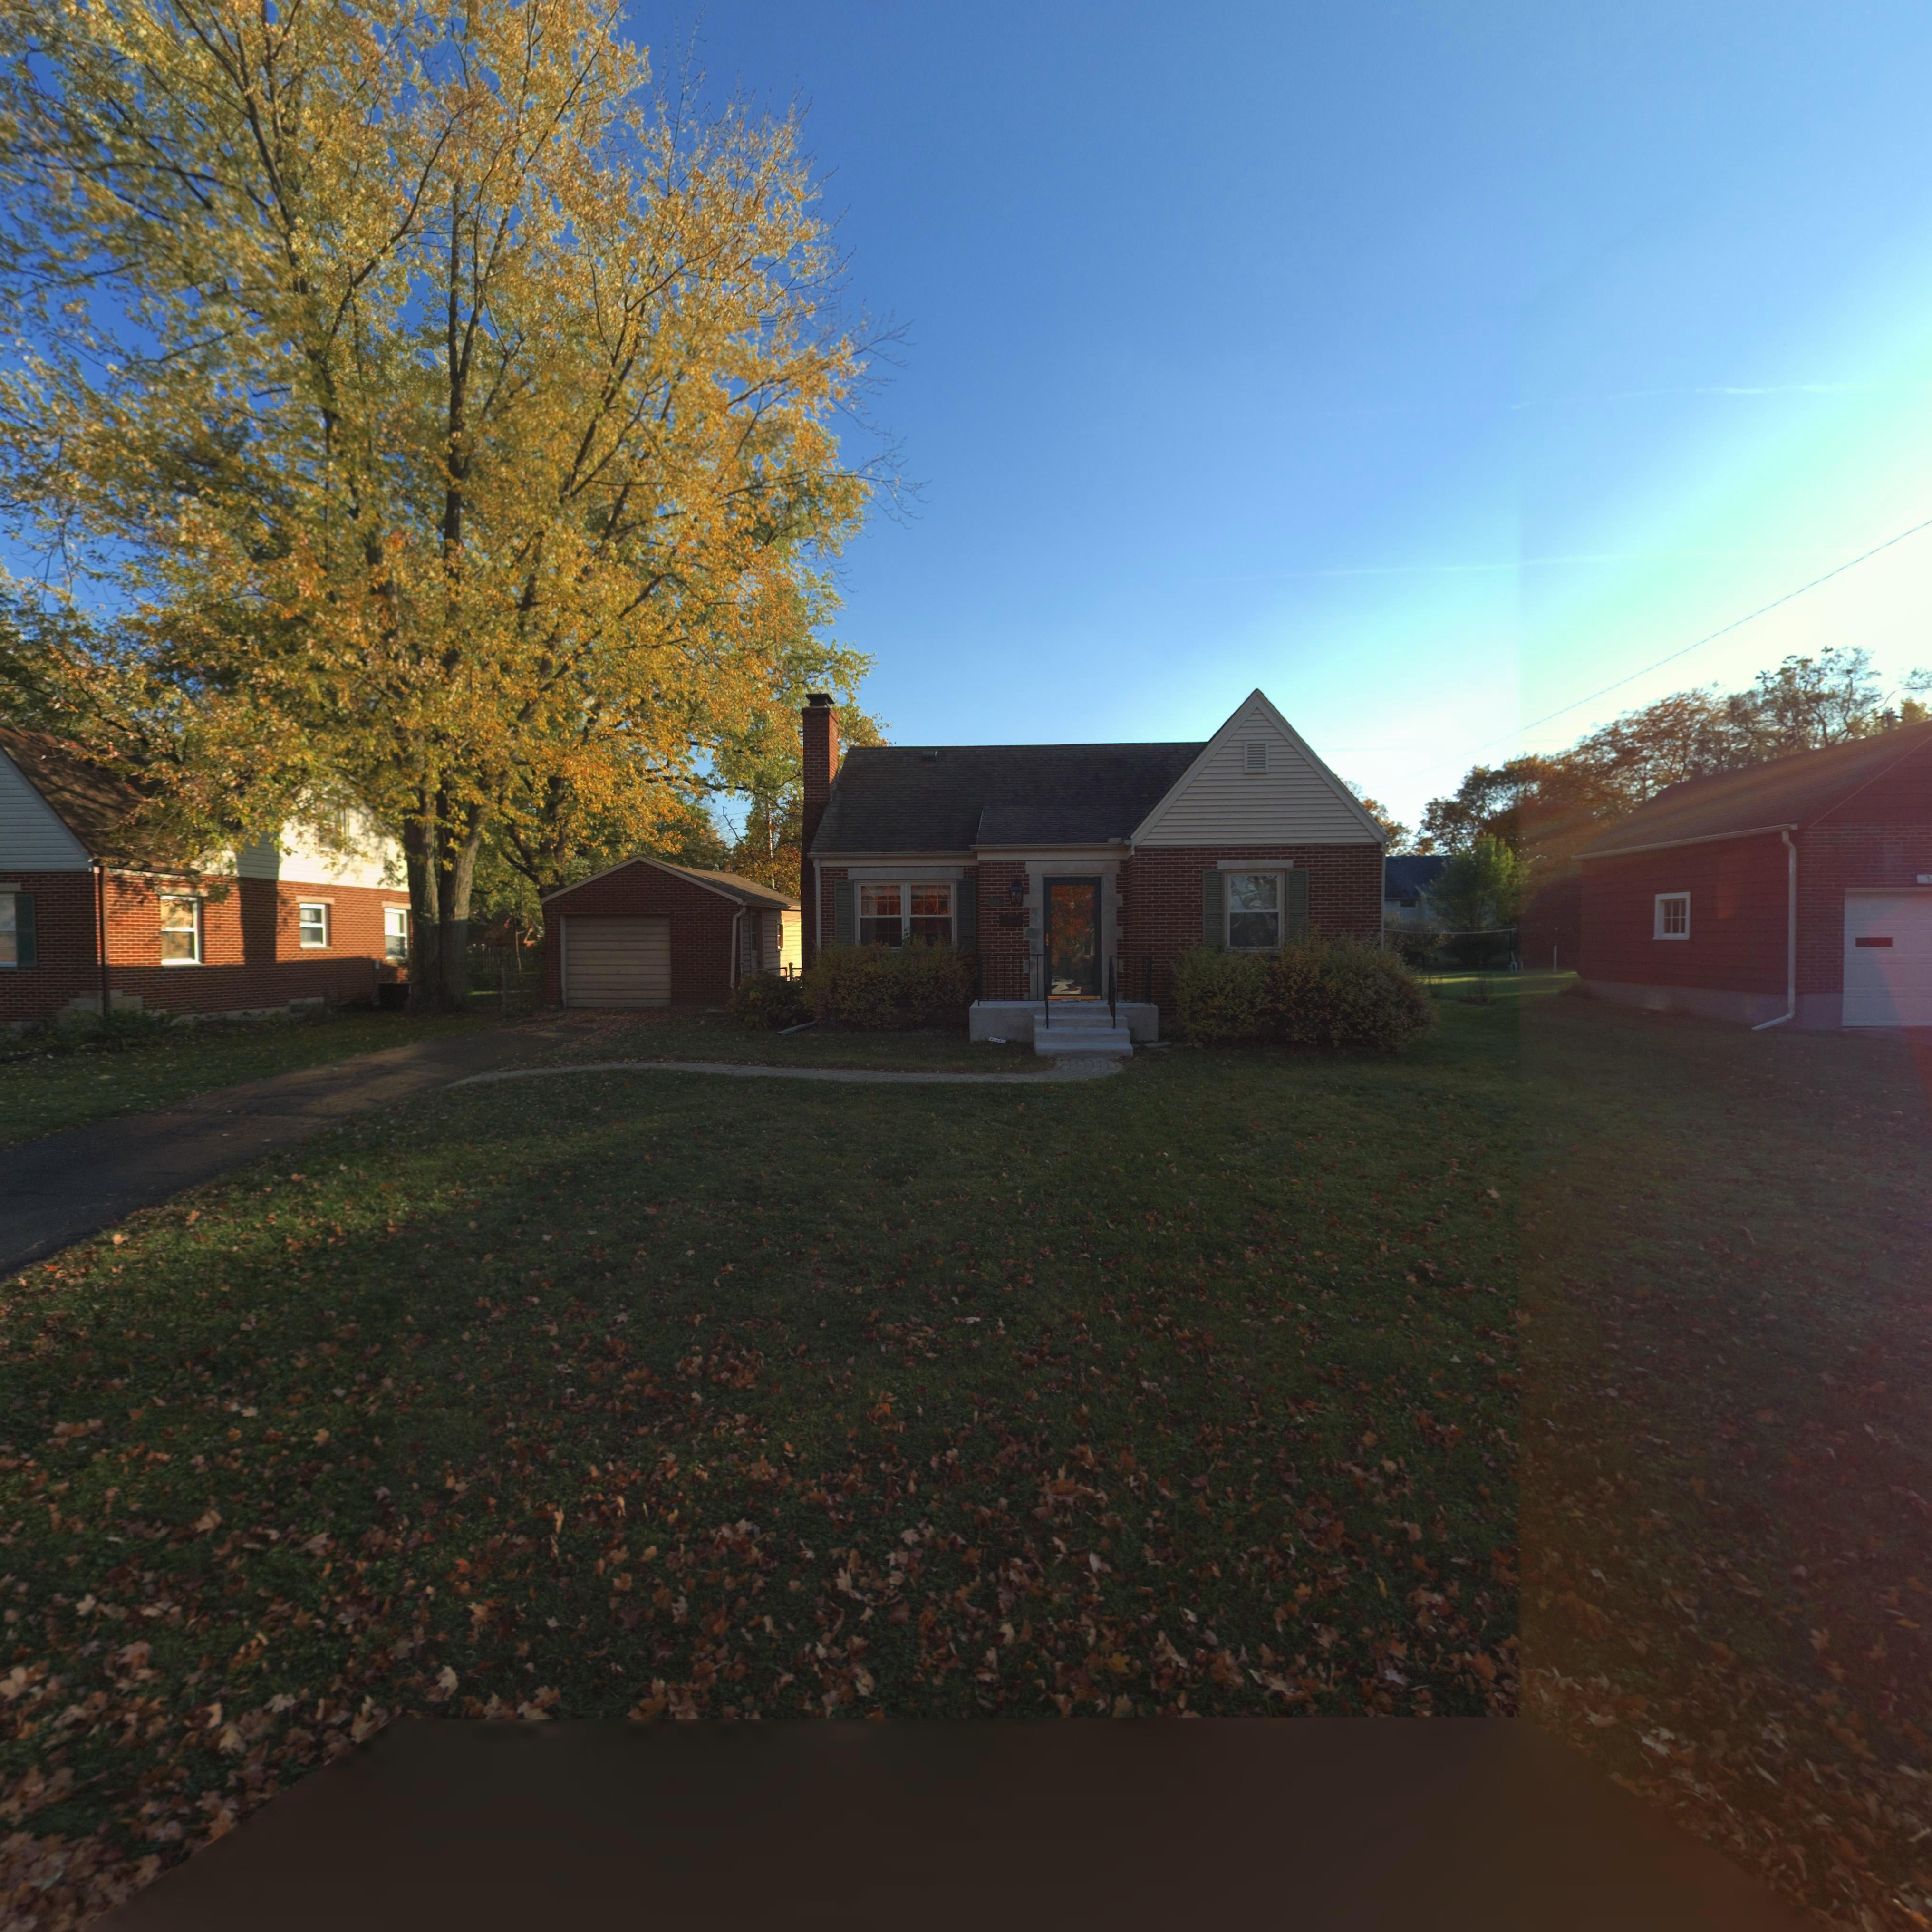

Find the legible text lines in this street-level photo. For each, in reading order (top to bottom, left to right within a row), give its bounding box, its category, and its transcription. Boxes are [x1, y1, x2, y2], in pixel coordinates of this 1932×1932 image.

[1926, 876, 1931, 883] StreetNumber: 3
[990, 898, 1001, 905] StreetNumber: 30*